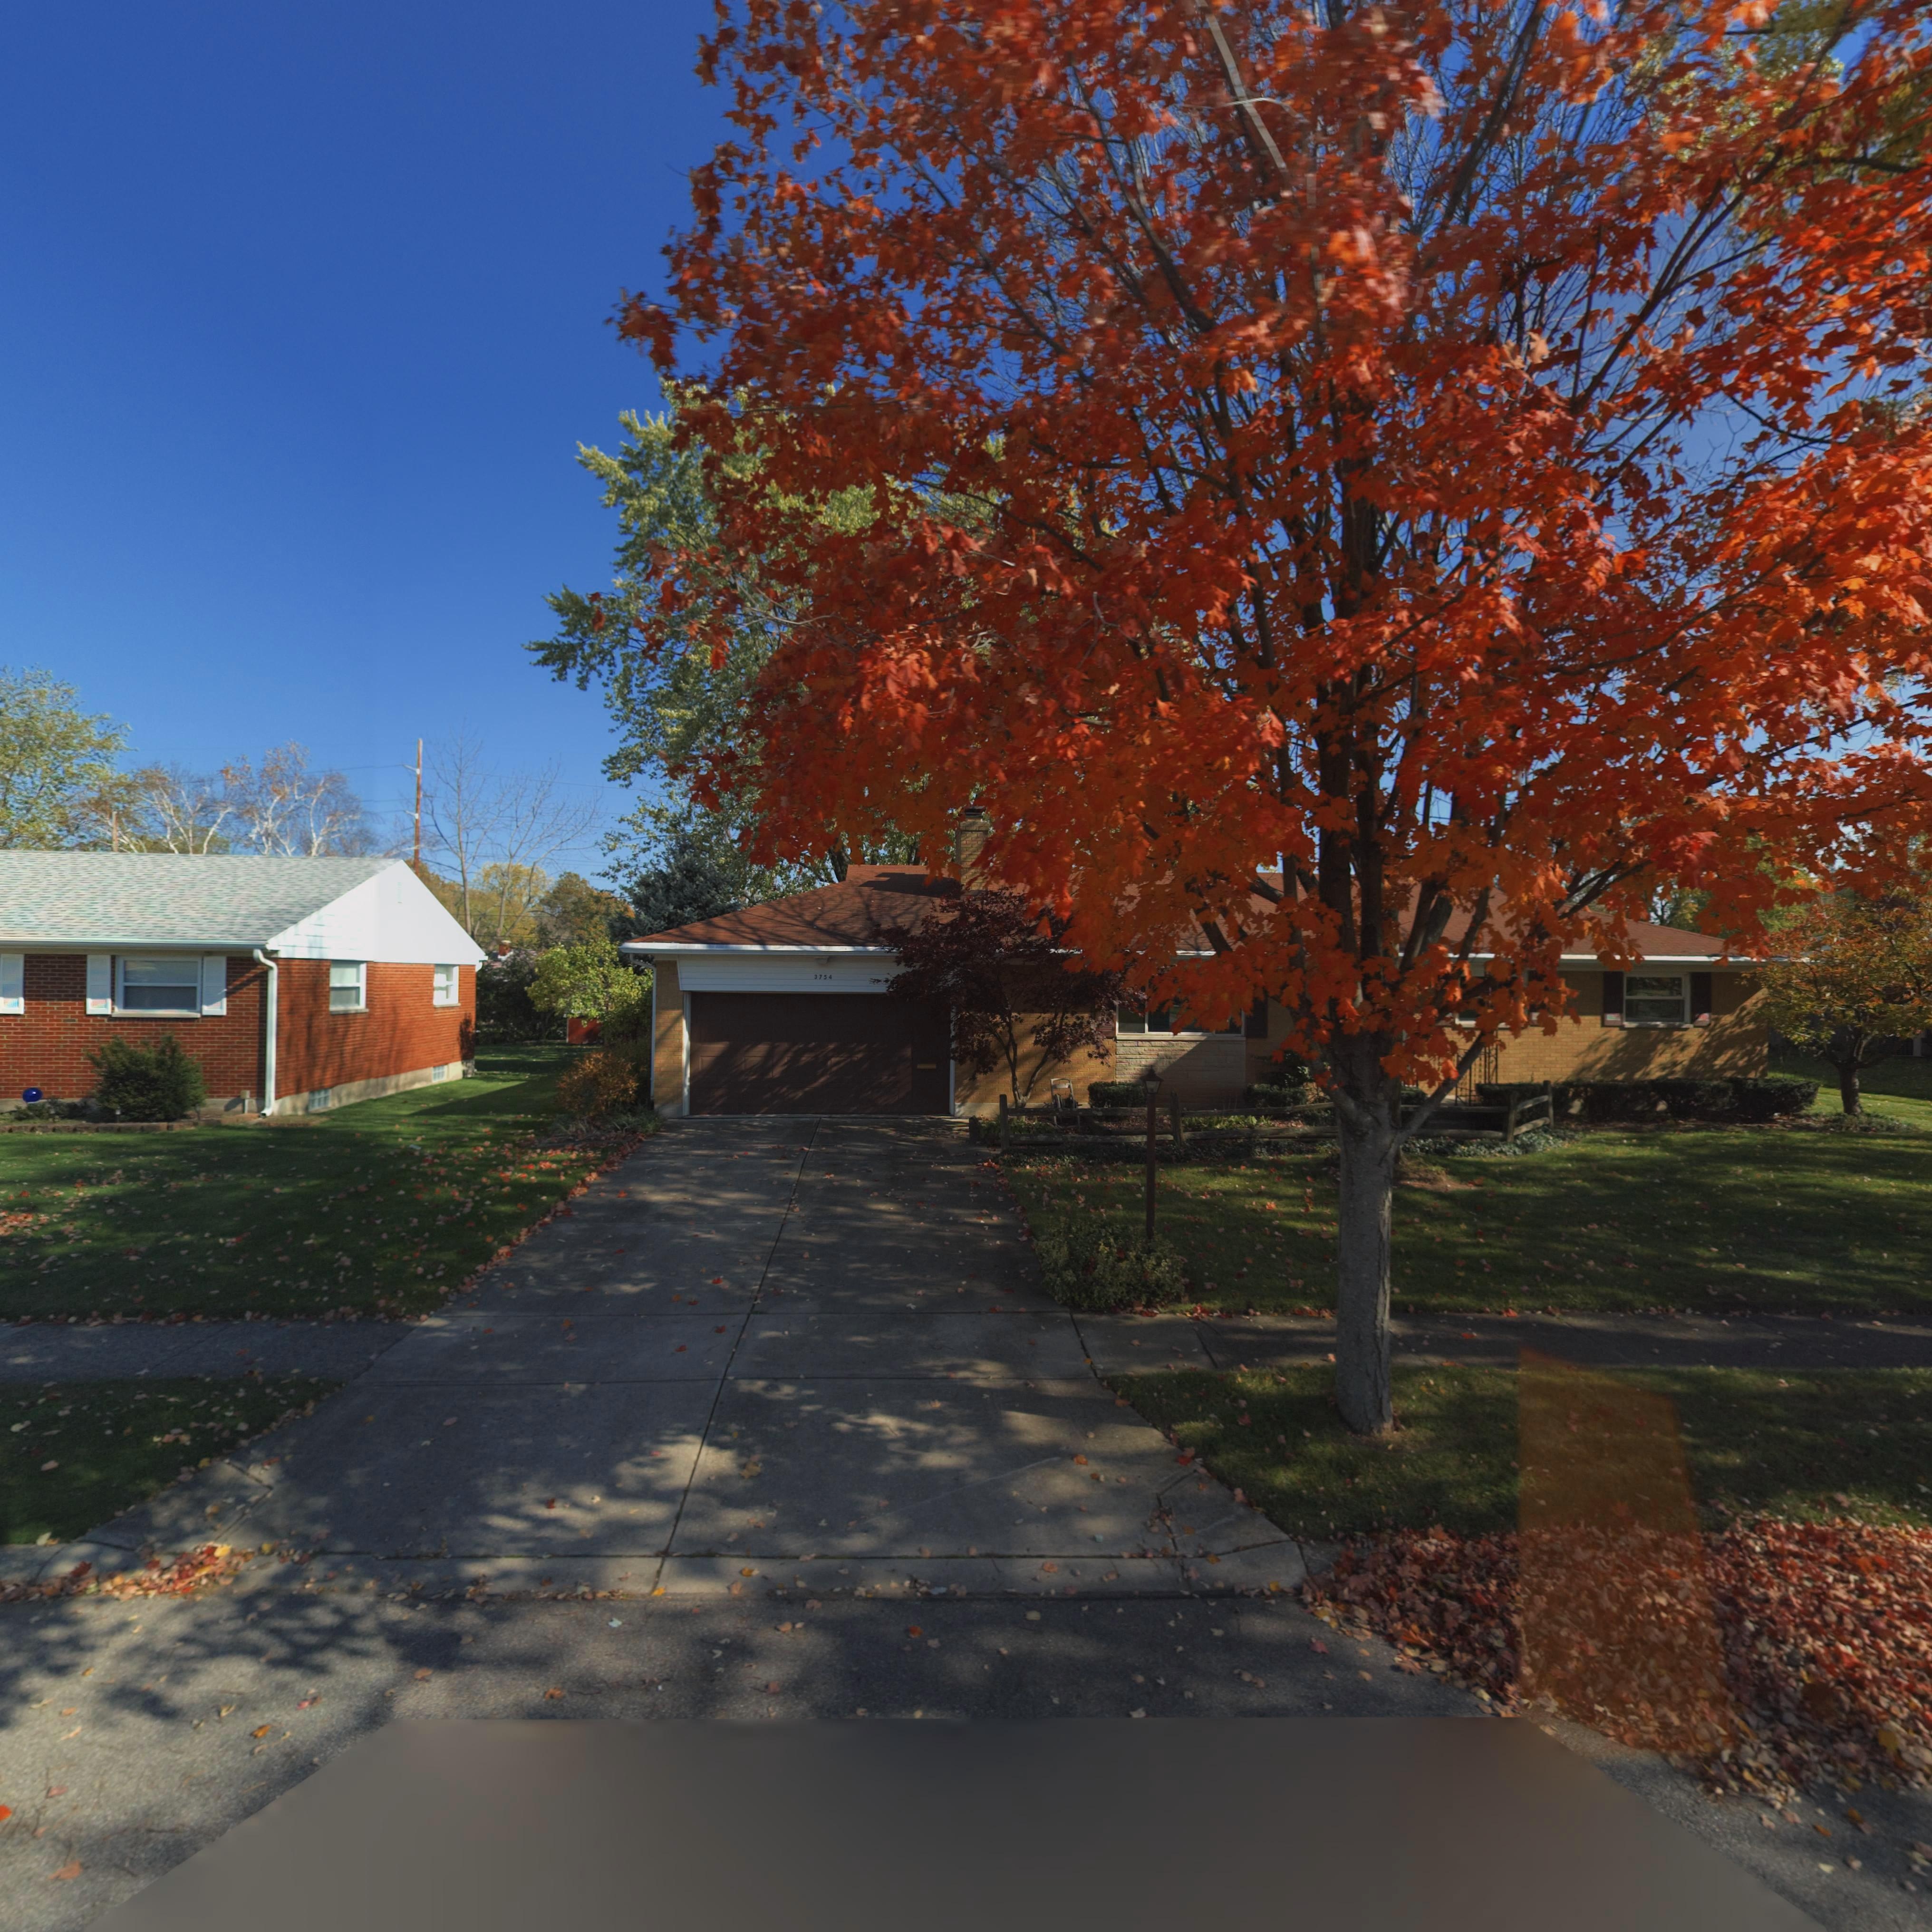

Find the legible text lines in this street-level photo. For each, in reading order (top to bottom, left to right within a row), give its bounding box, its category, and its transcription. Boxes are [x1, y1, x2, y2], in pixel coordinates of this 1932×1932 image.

[813, 974, 833, 980] StreetNumber: 3754